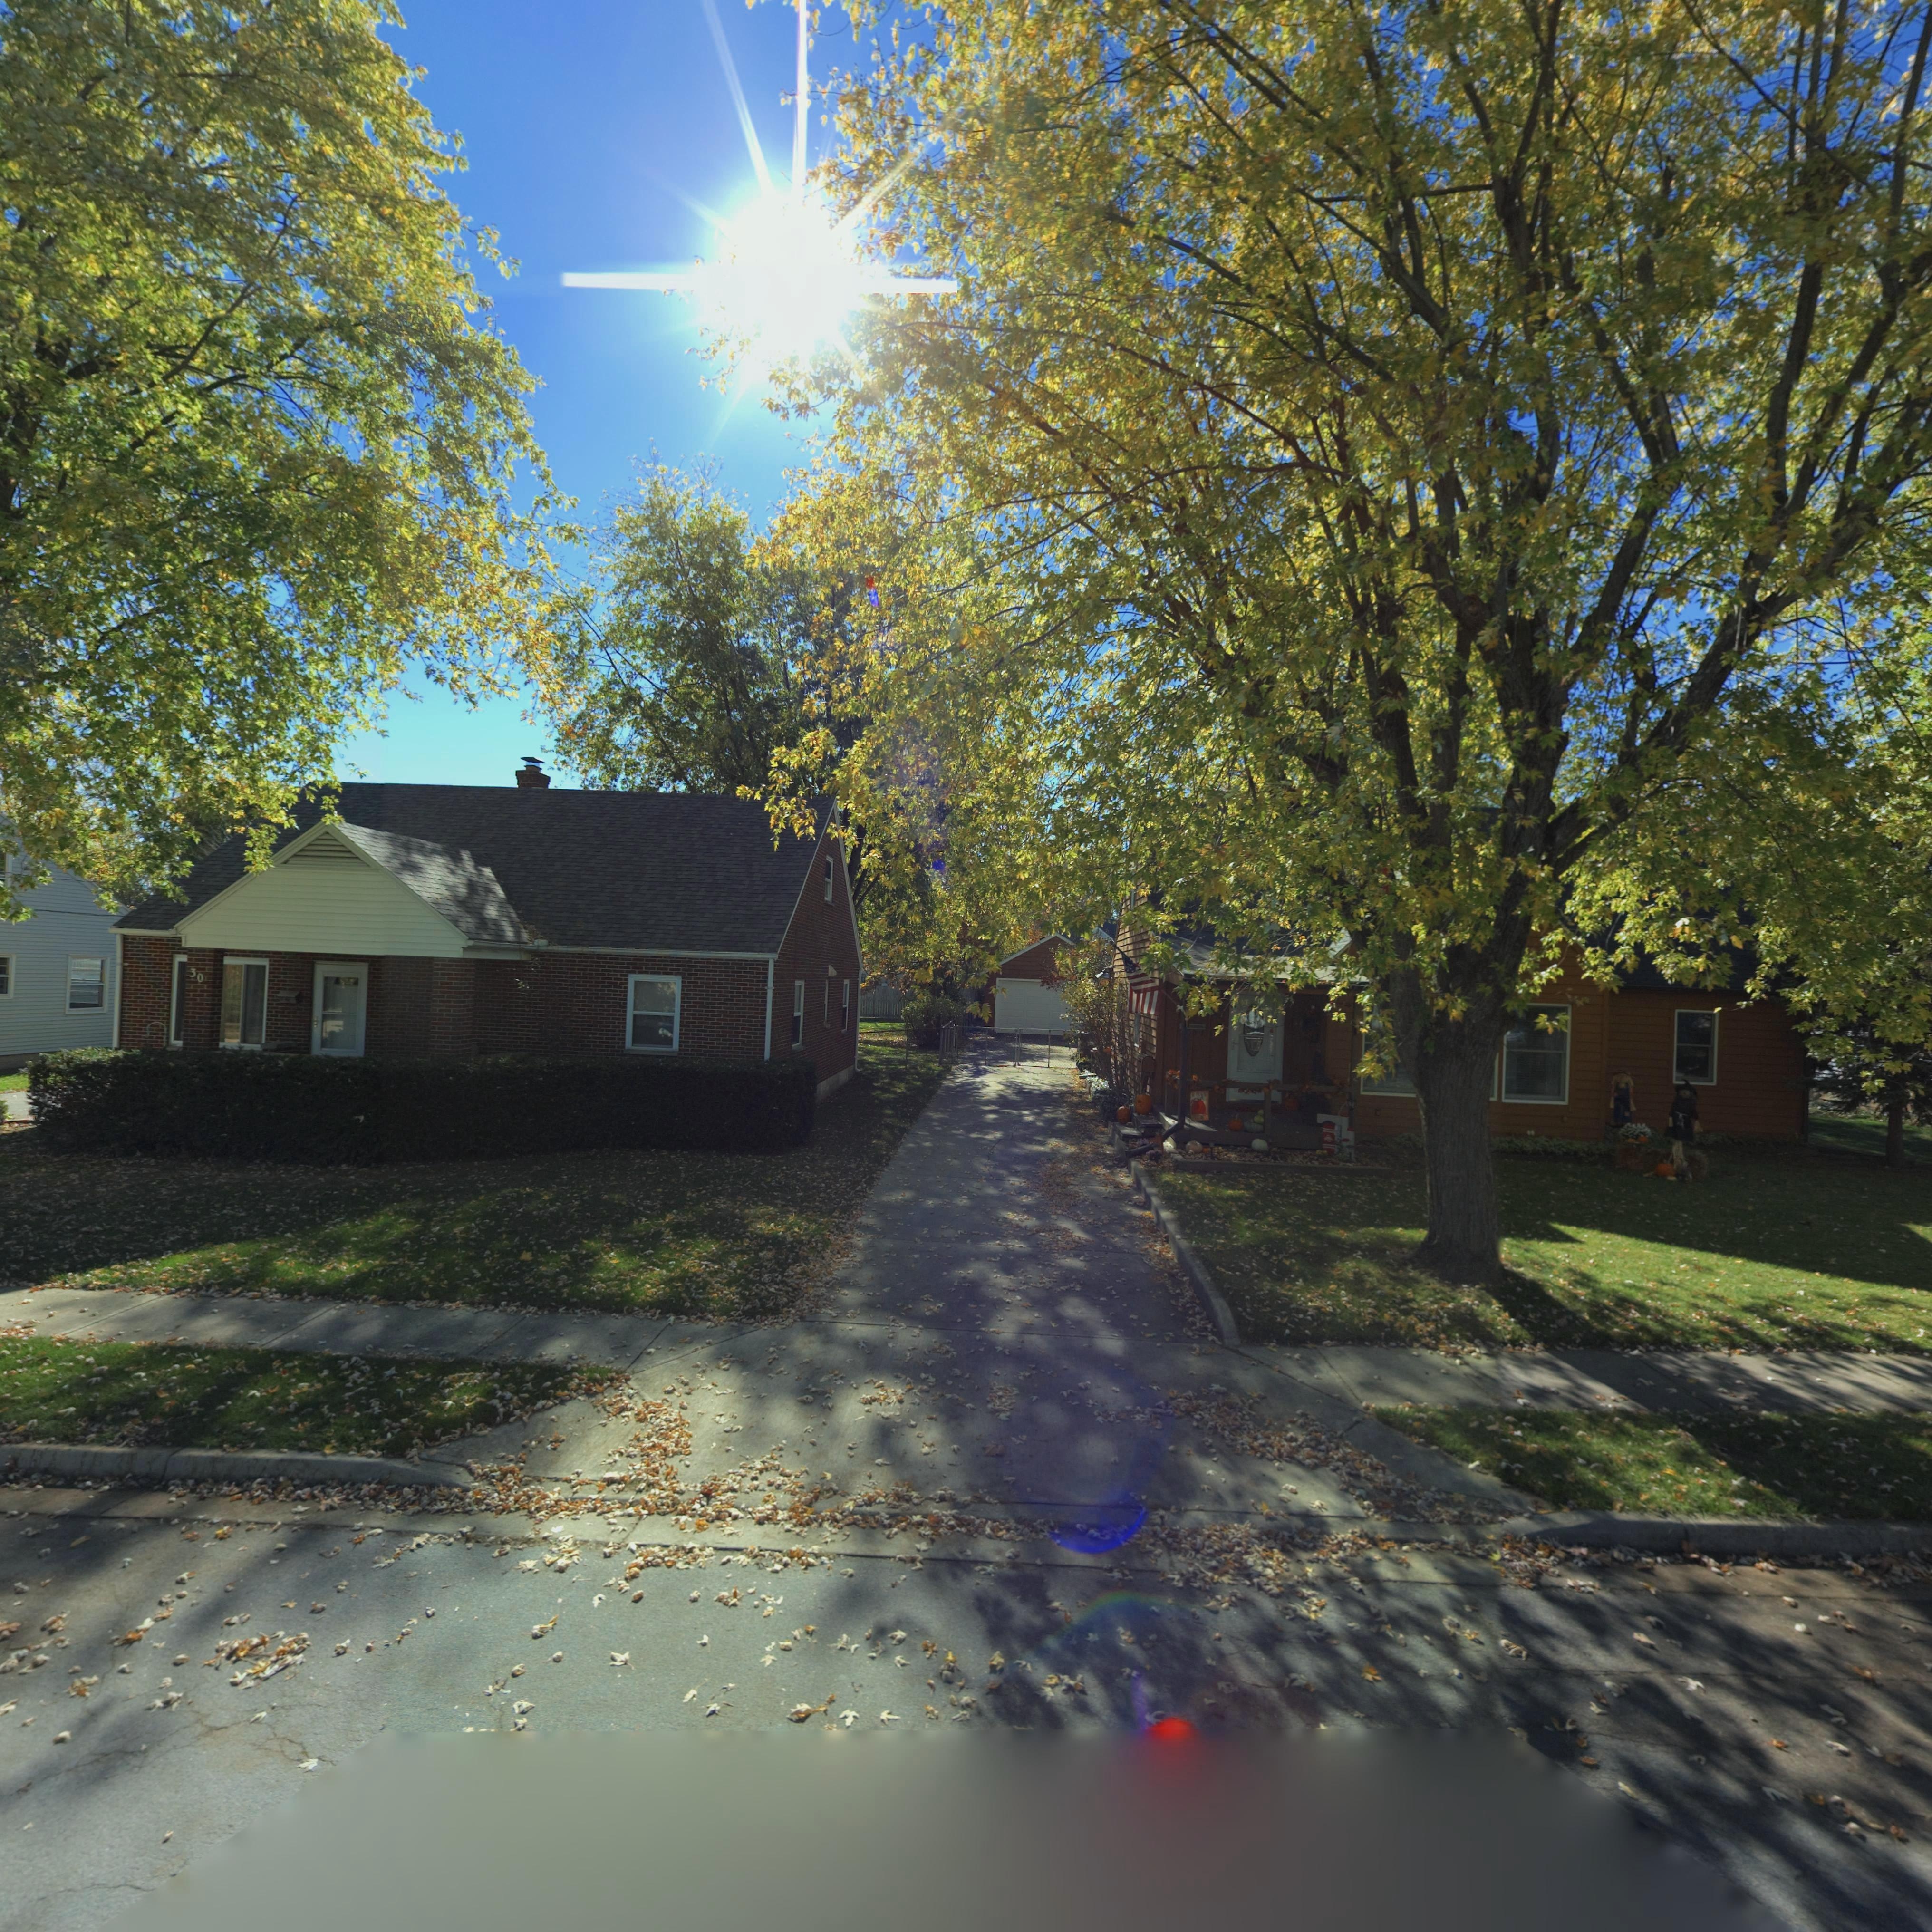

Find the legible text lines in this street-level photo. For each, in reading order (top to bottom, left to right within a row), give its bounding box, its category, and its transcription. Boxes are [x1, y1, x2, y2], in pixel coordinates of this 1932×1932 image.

[188, 967, 205, 984] StreetNumber: 30